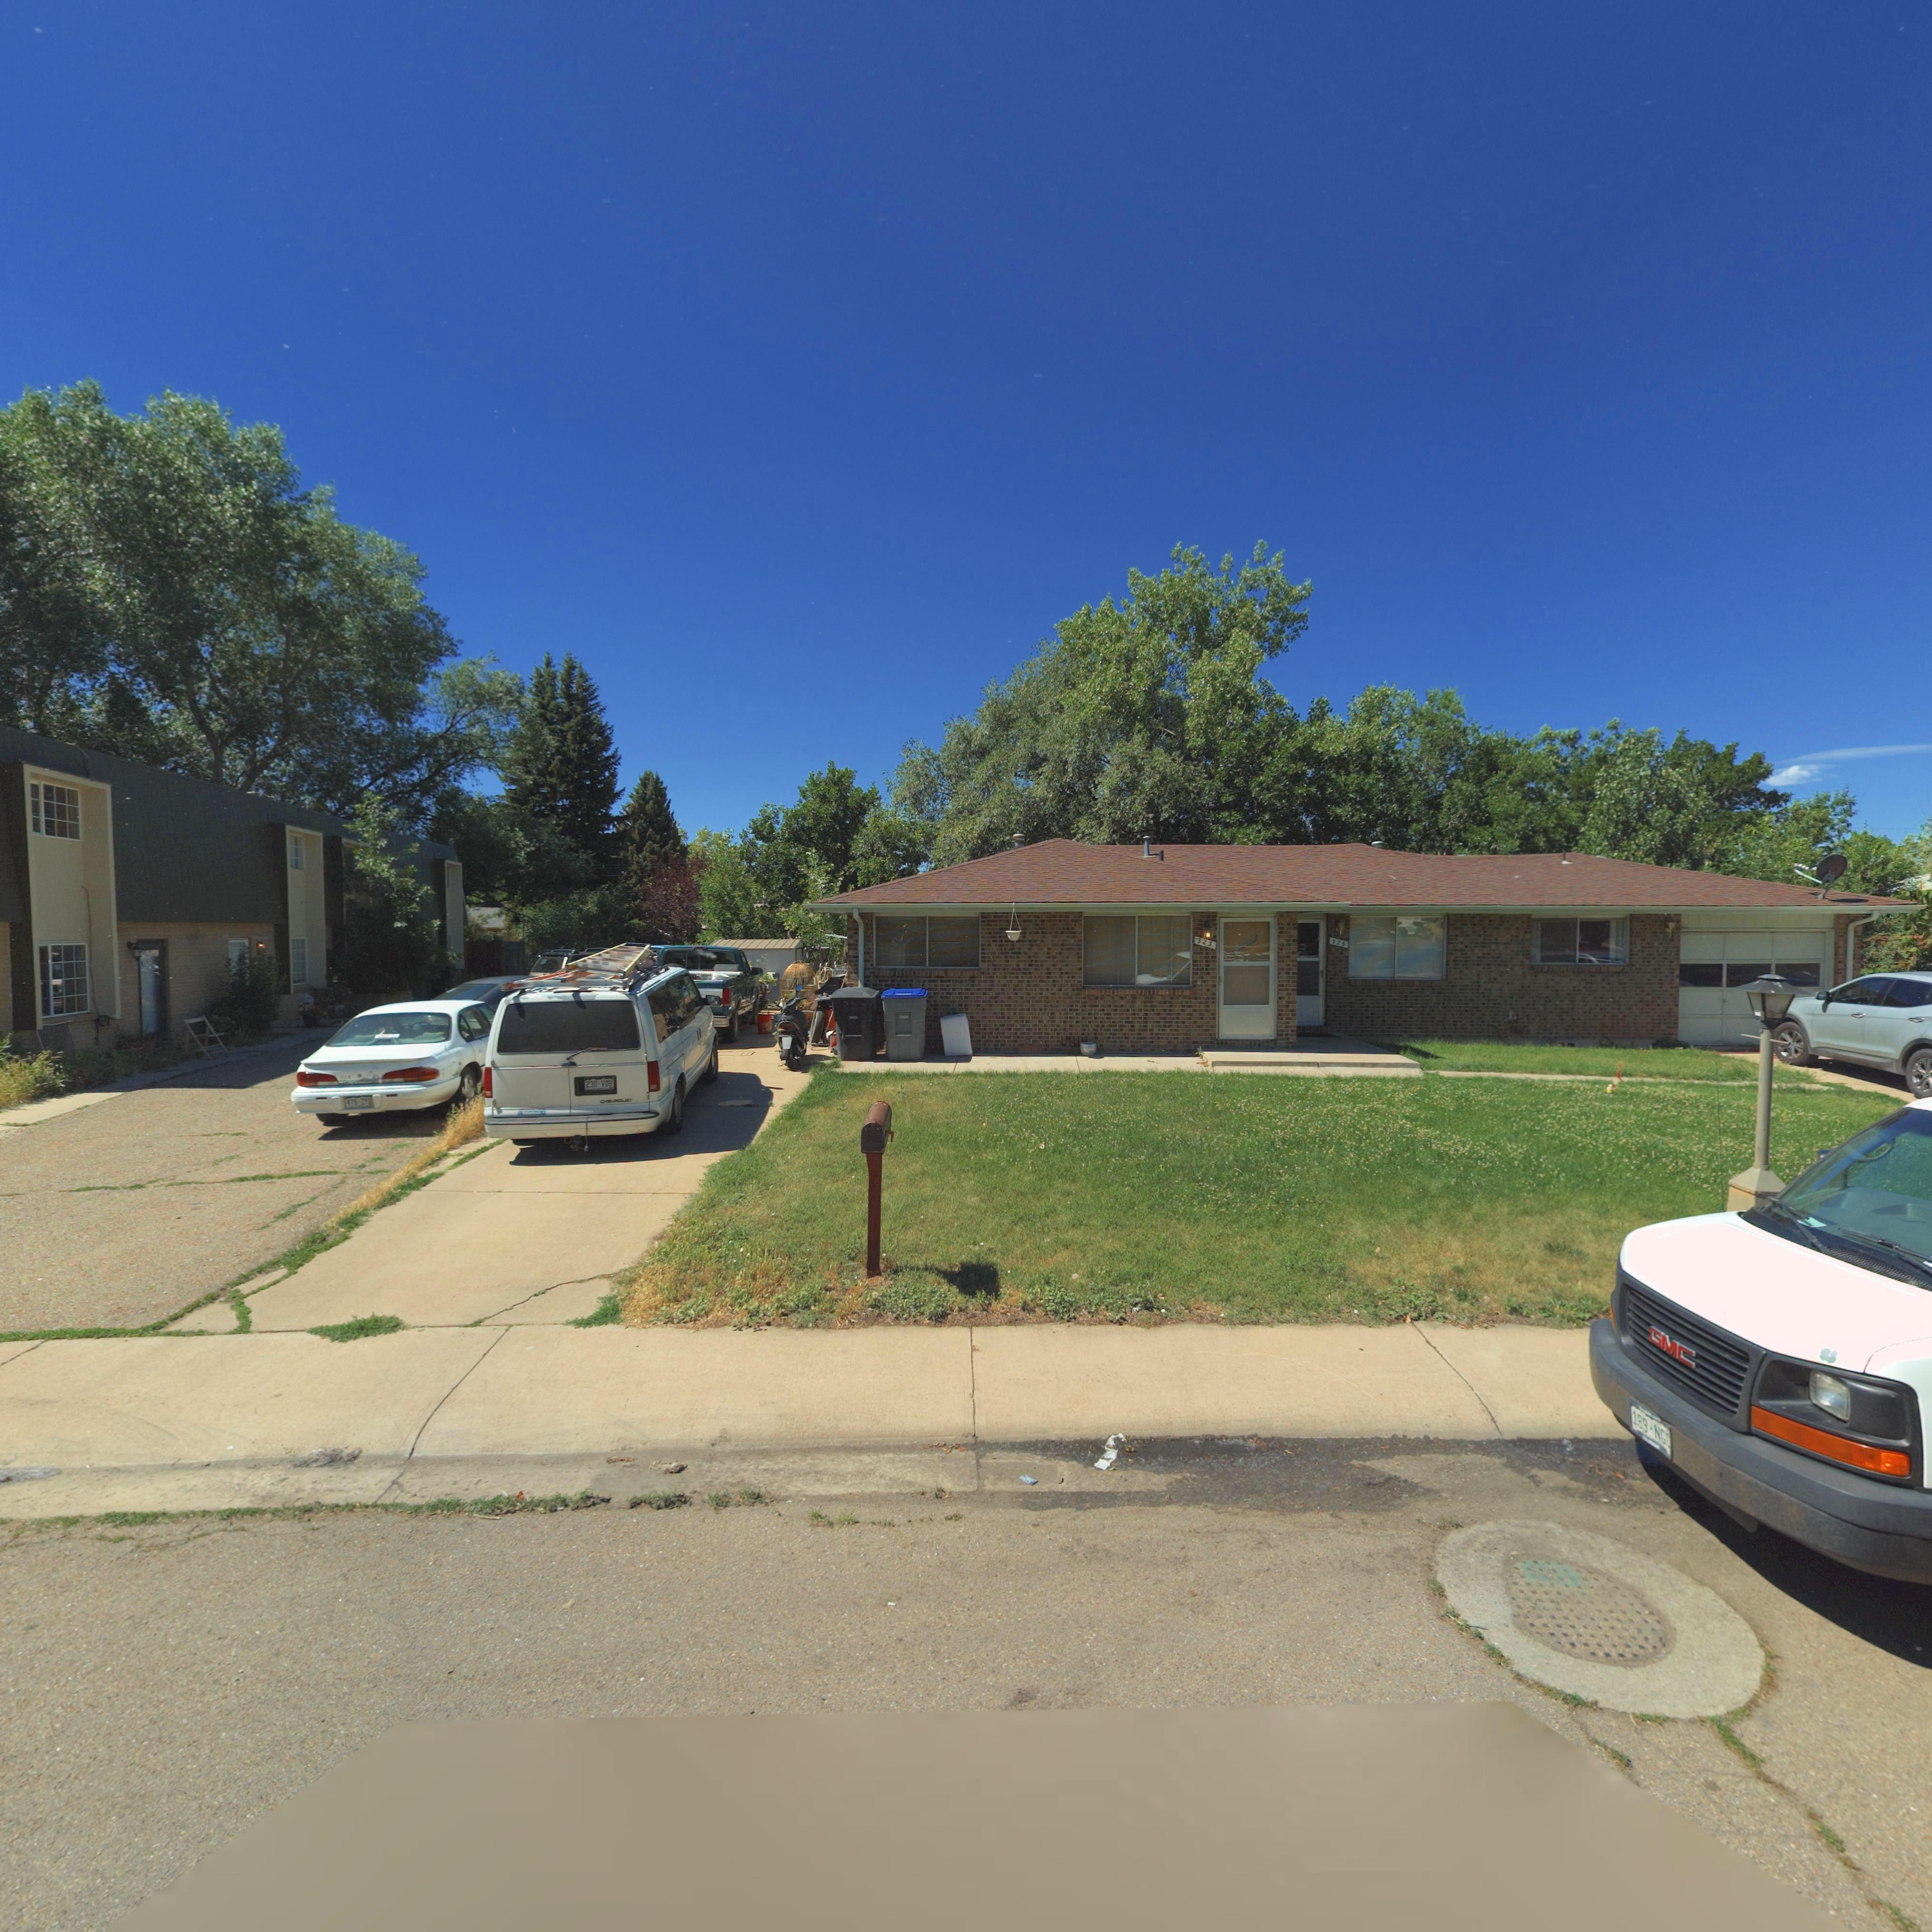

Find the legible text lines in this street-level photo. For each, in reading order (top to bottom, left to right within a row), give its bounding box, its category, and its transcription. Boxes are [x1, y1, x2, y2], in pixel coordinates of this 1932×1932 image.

[1196, 937, 1213, 947] StreetNumber: 323
[1331, 938, 1345, 947] StreetNumber: 325